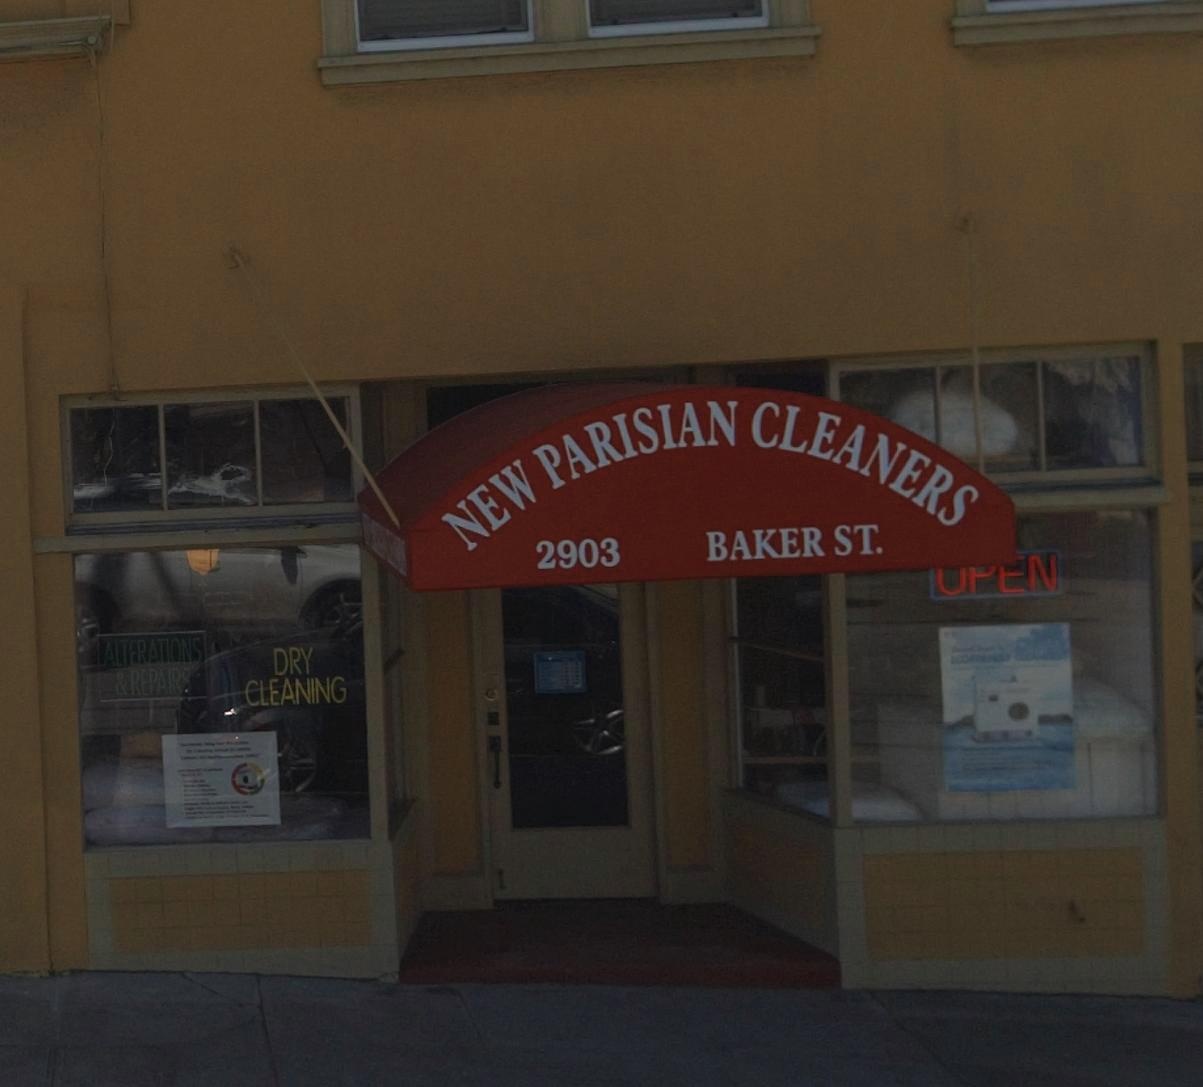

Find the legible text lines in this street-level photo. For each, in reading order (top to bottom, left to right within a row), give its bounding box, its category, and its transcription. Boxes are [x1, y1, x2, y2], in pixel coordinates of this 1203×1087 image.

[438, 400, 981, 553] BusinessName: NEW PARISIAN CLEANERS
[535, 537, 622, 571] StreetNumber: 2903
[704, 523, 884, 563] StreetName: BAKER ST.
[1026, 553, 1059, 593] None: N
[100, 636, 203, 669] None: ALTERATIONS
[272, 645, 315, 677] None: DRY
[129, 667, 193, 697] None: REPAIRS
[243, 675, 349, 708] None: CLEANING